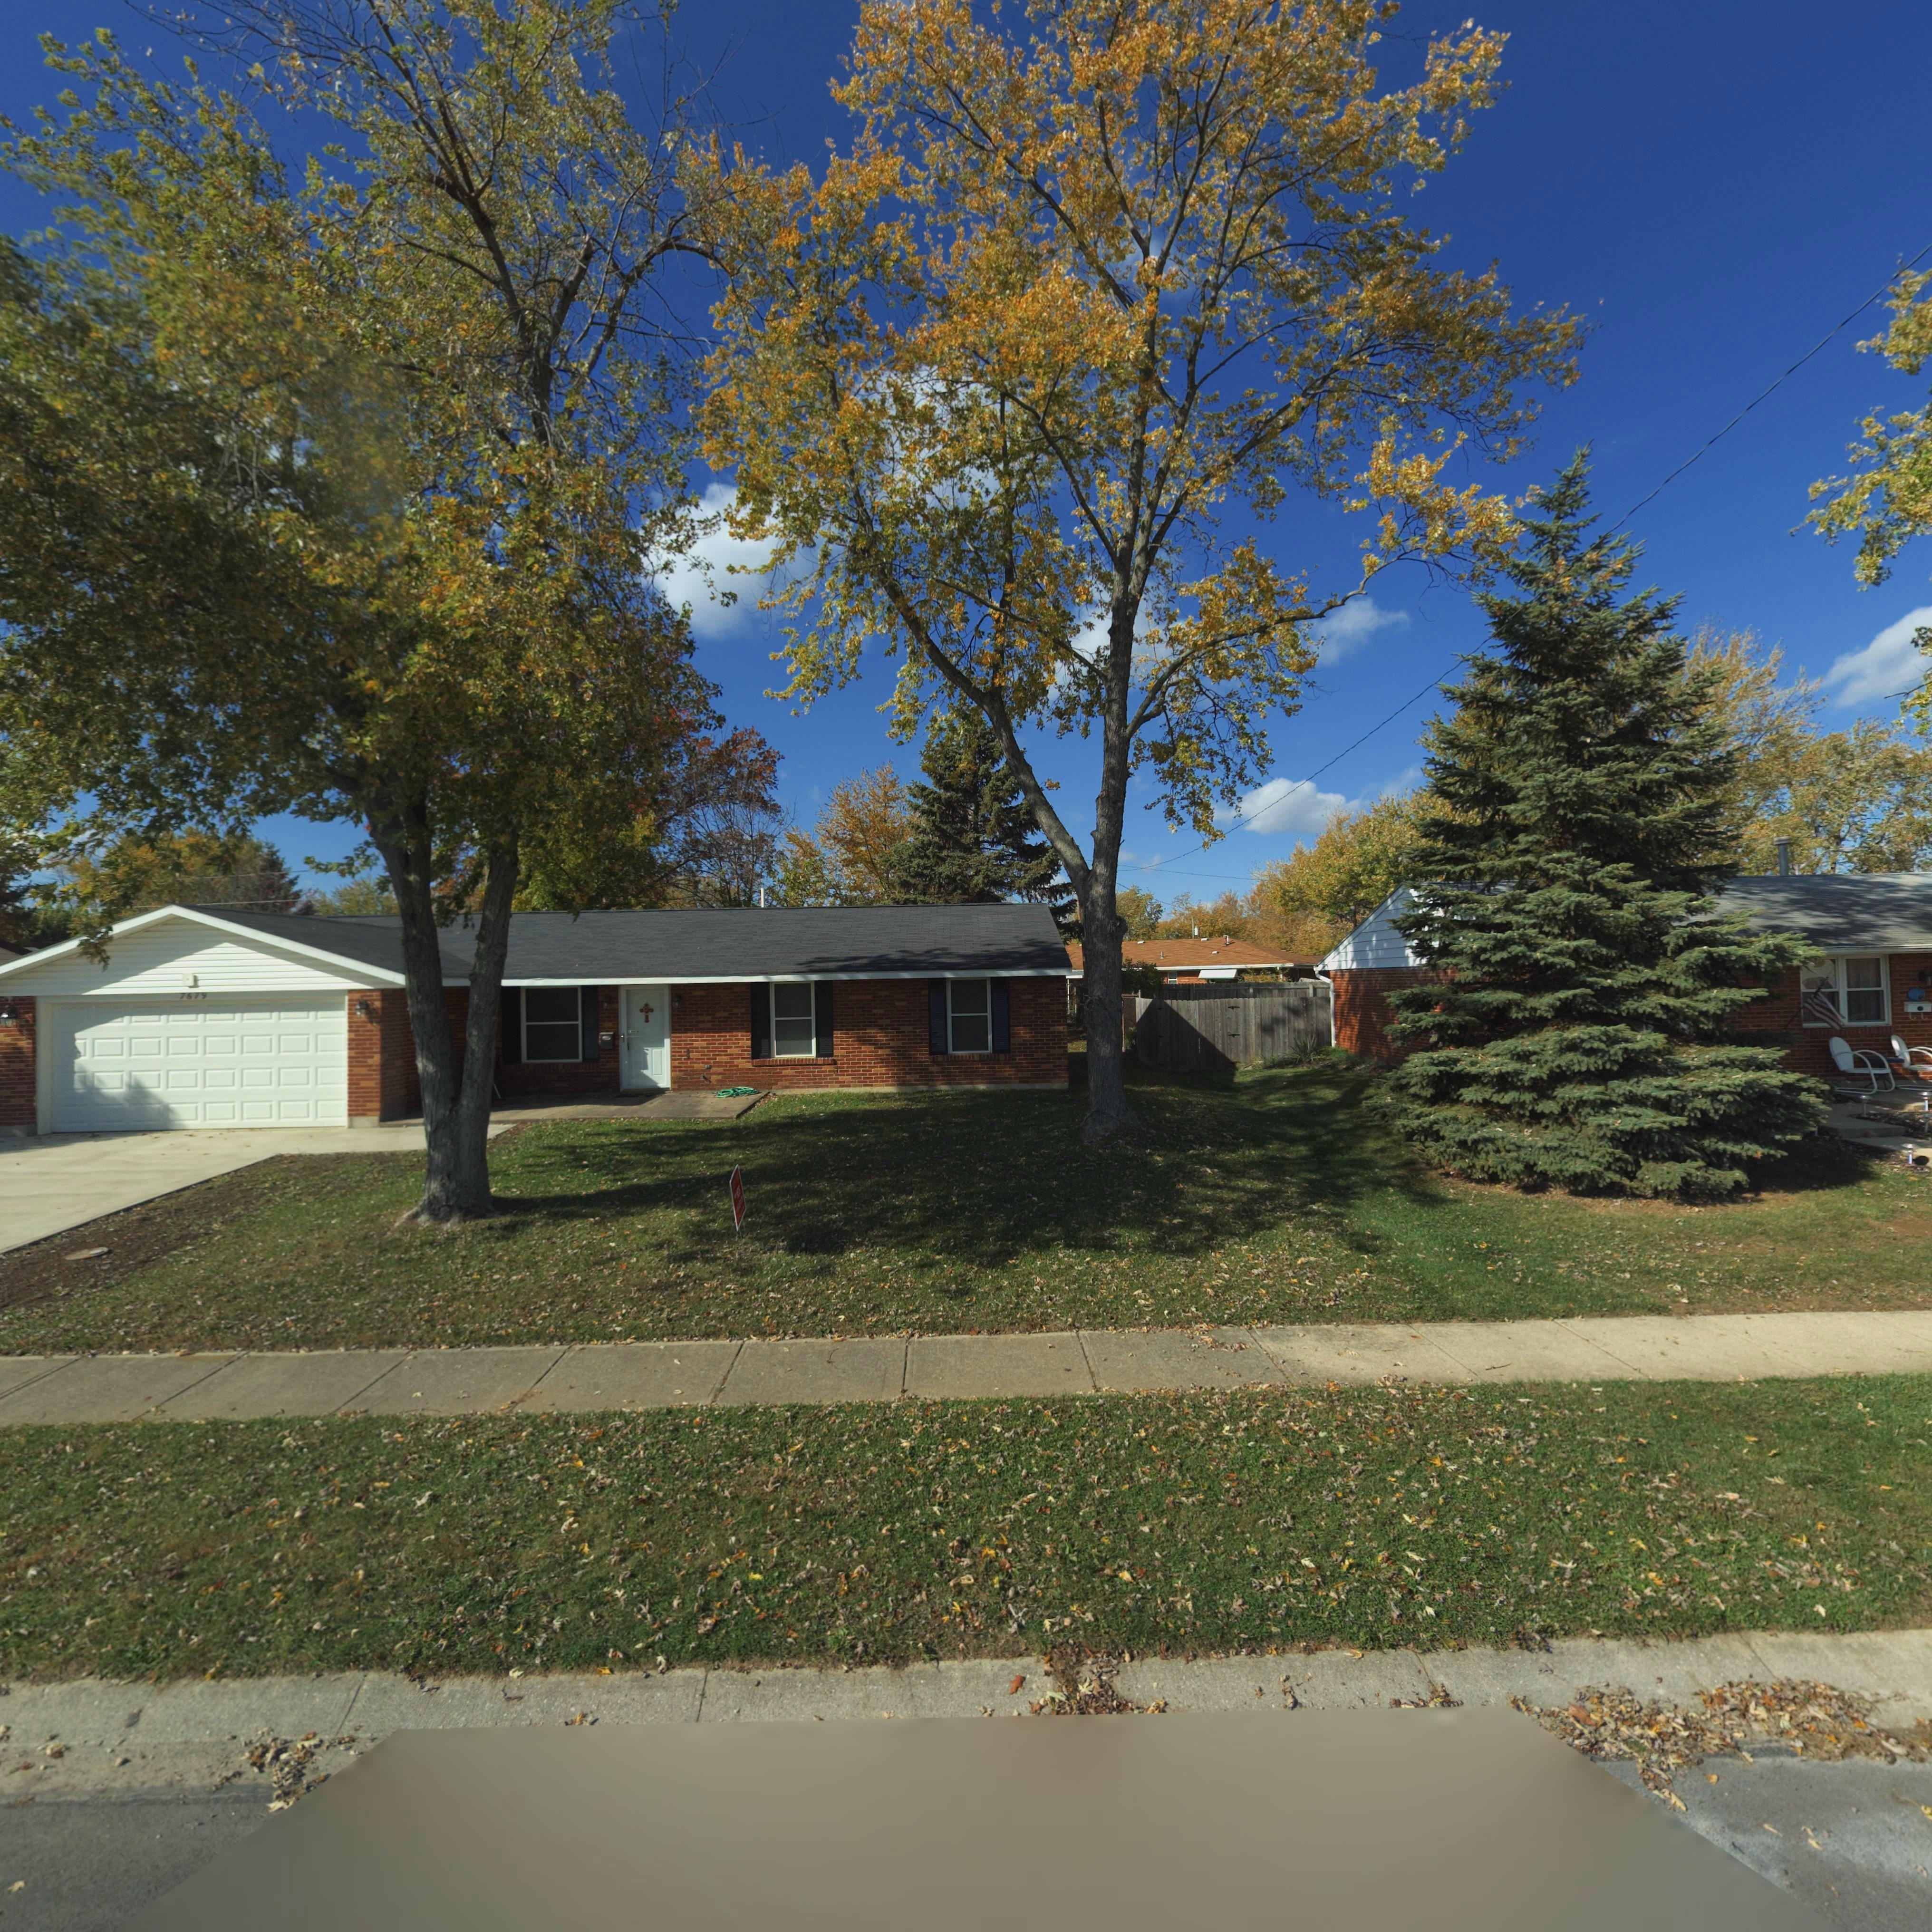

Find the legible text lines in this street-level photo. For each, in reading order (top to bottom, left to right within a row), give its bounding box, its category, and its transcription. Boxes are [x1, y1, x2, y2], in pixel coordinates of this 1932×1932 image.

[177, 991, 208, 1001] StreetNumber: *6**